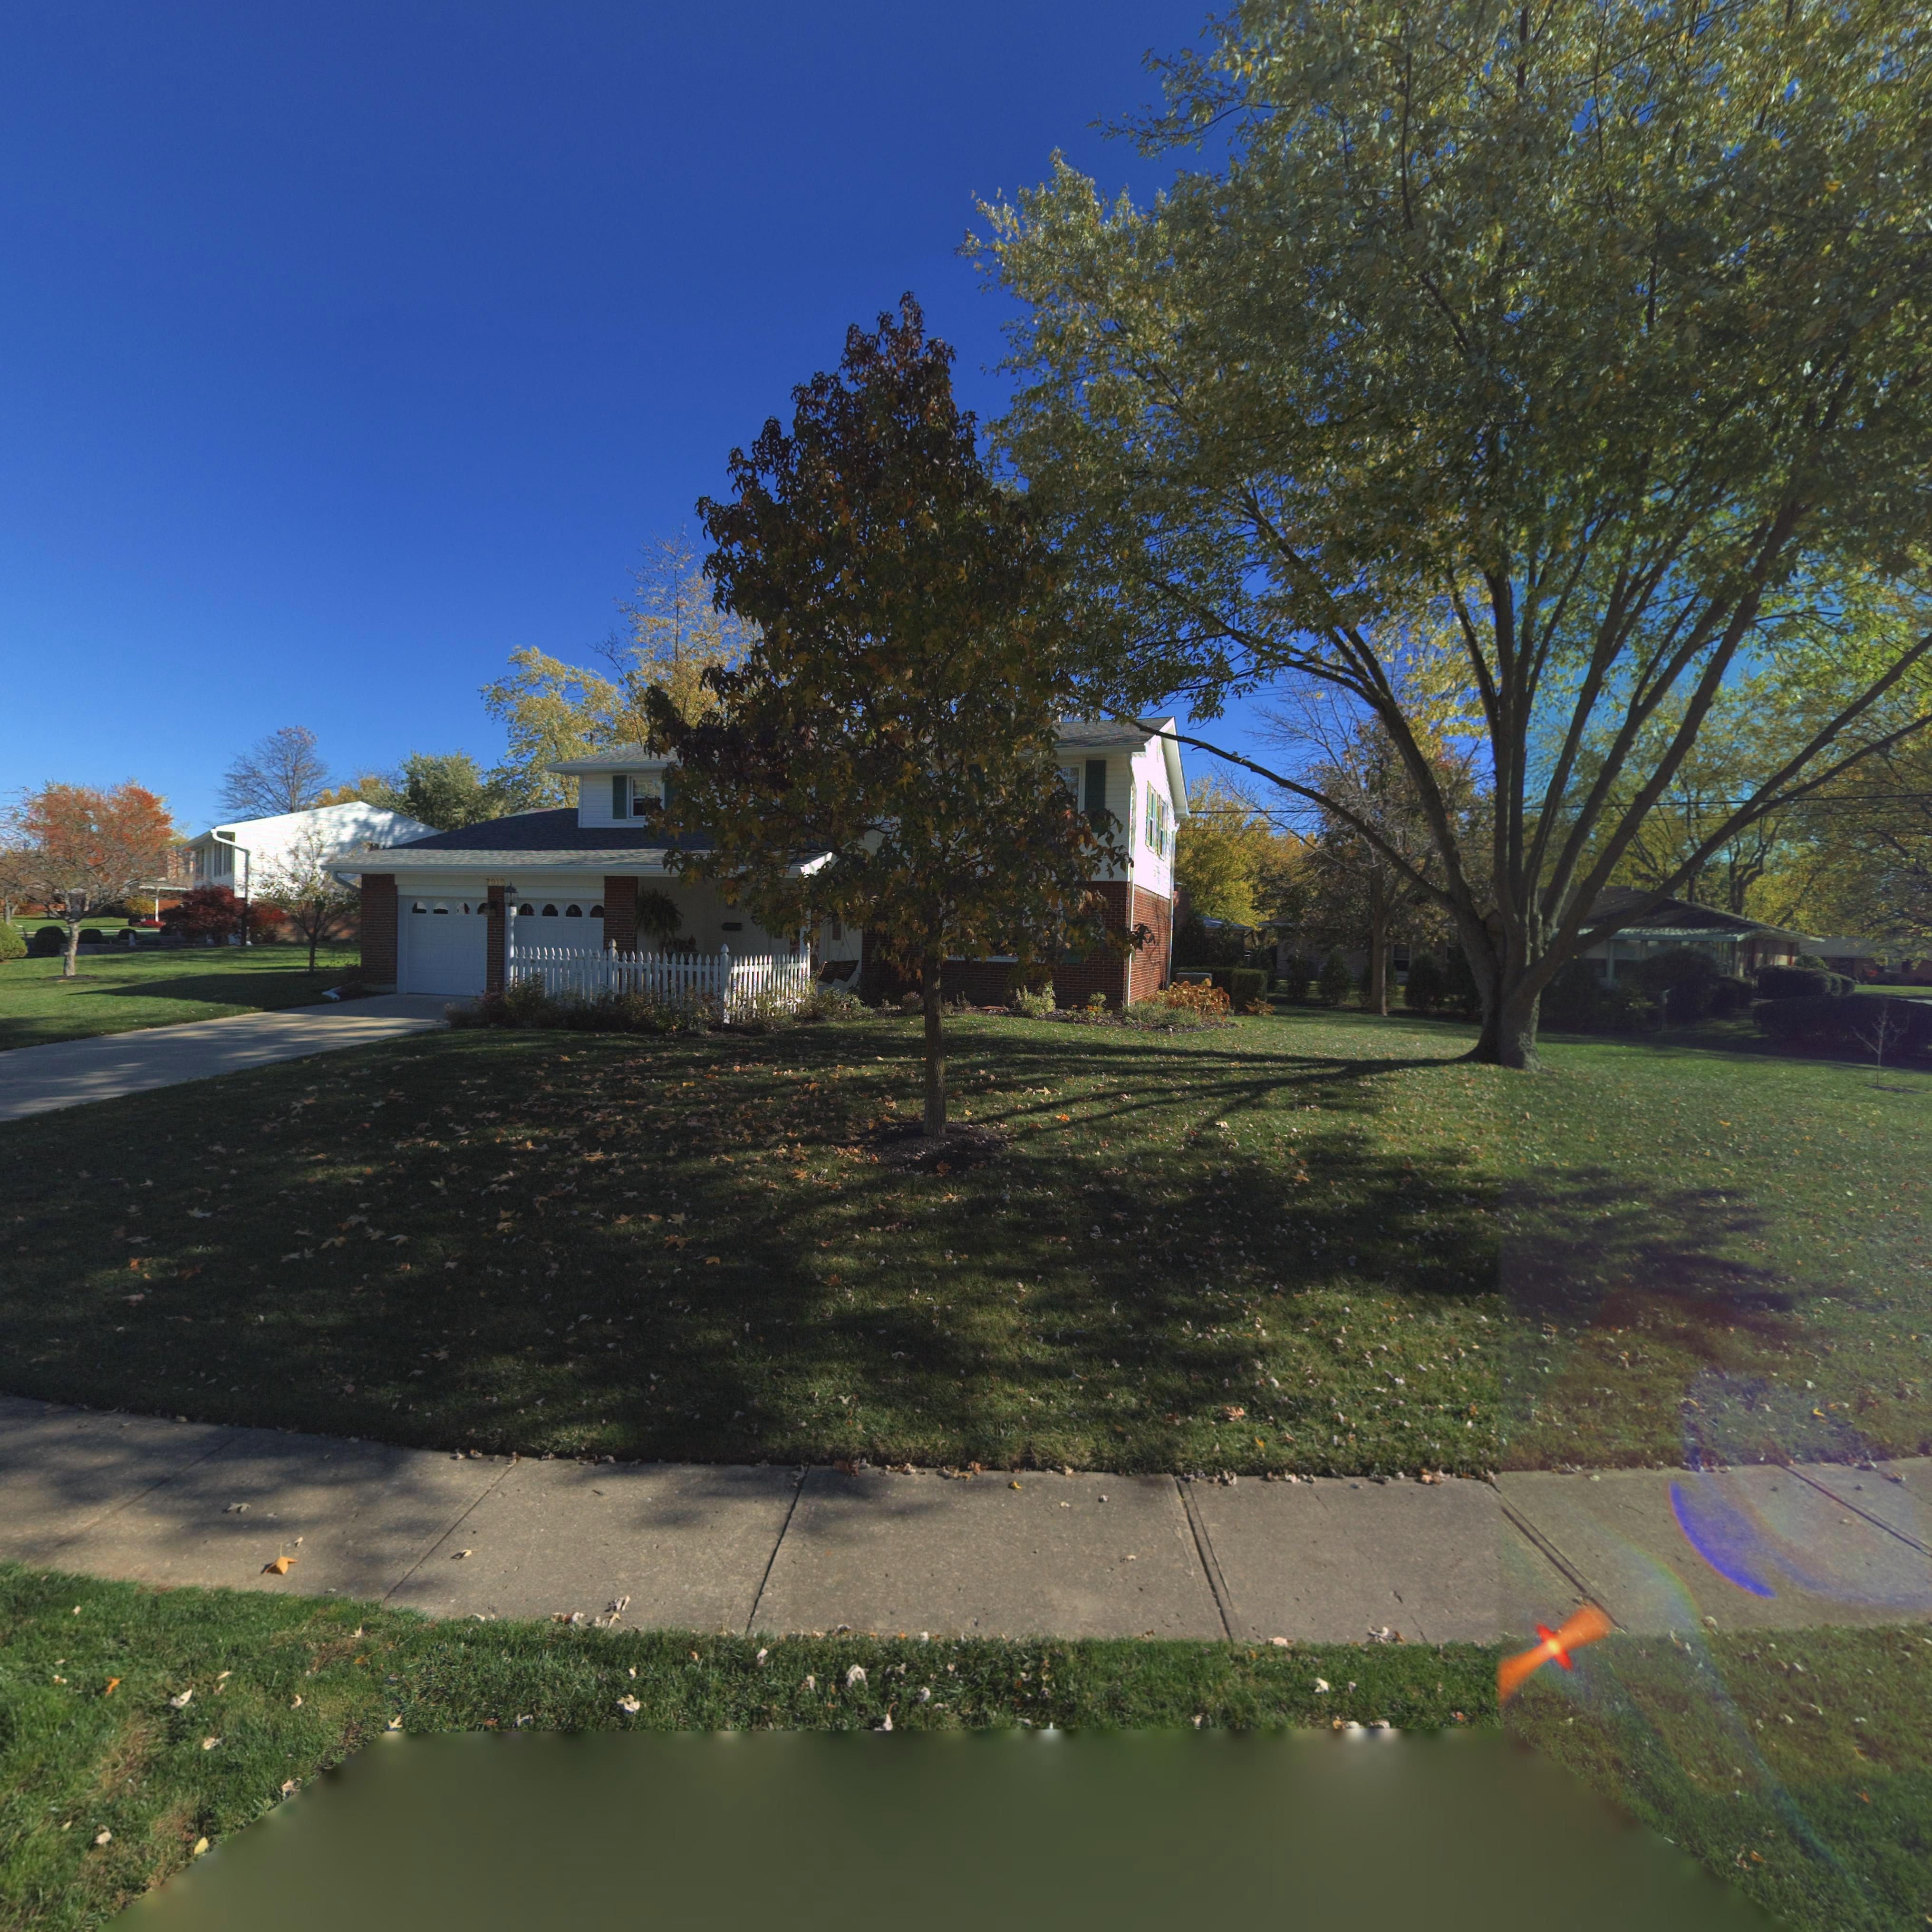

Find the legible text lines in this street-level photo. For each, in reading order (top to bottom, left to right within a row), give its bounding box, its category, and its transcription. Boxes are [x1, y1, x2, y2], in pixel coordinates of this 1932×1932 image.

[484, 877, 506, 887] StreetNumber: 701*